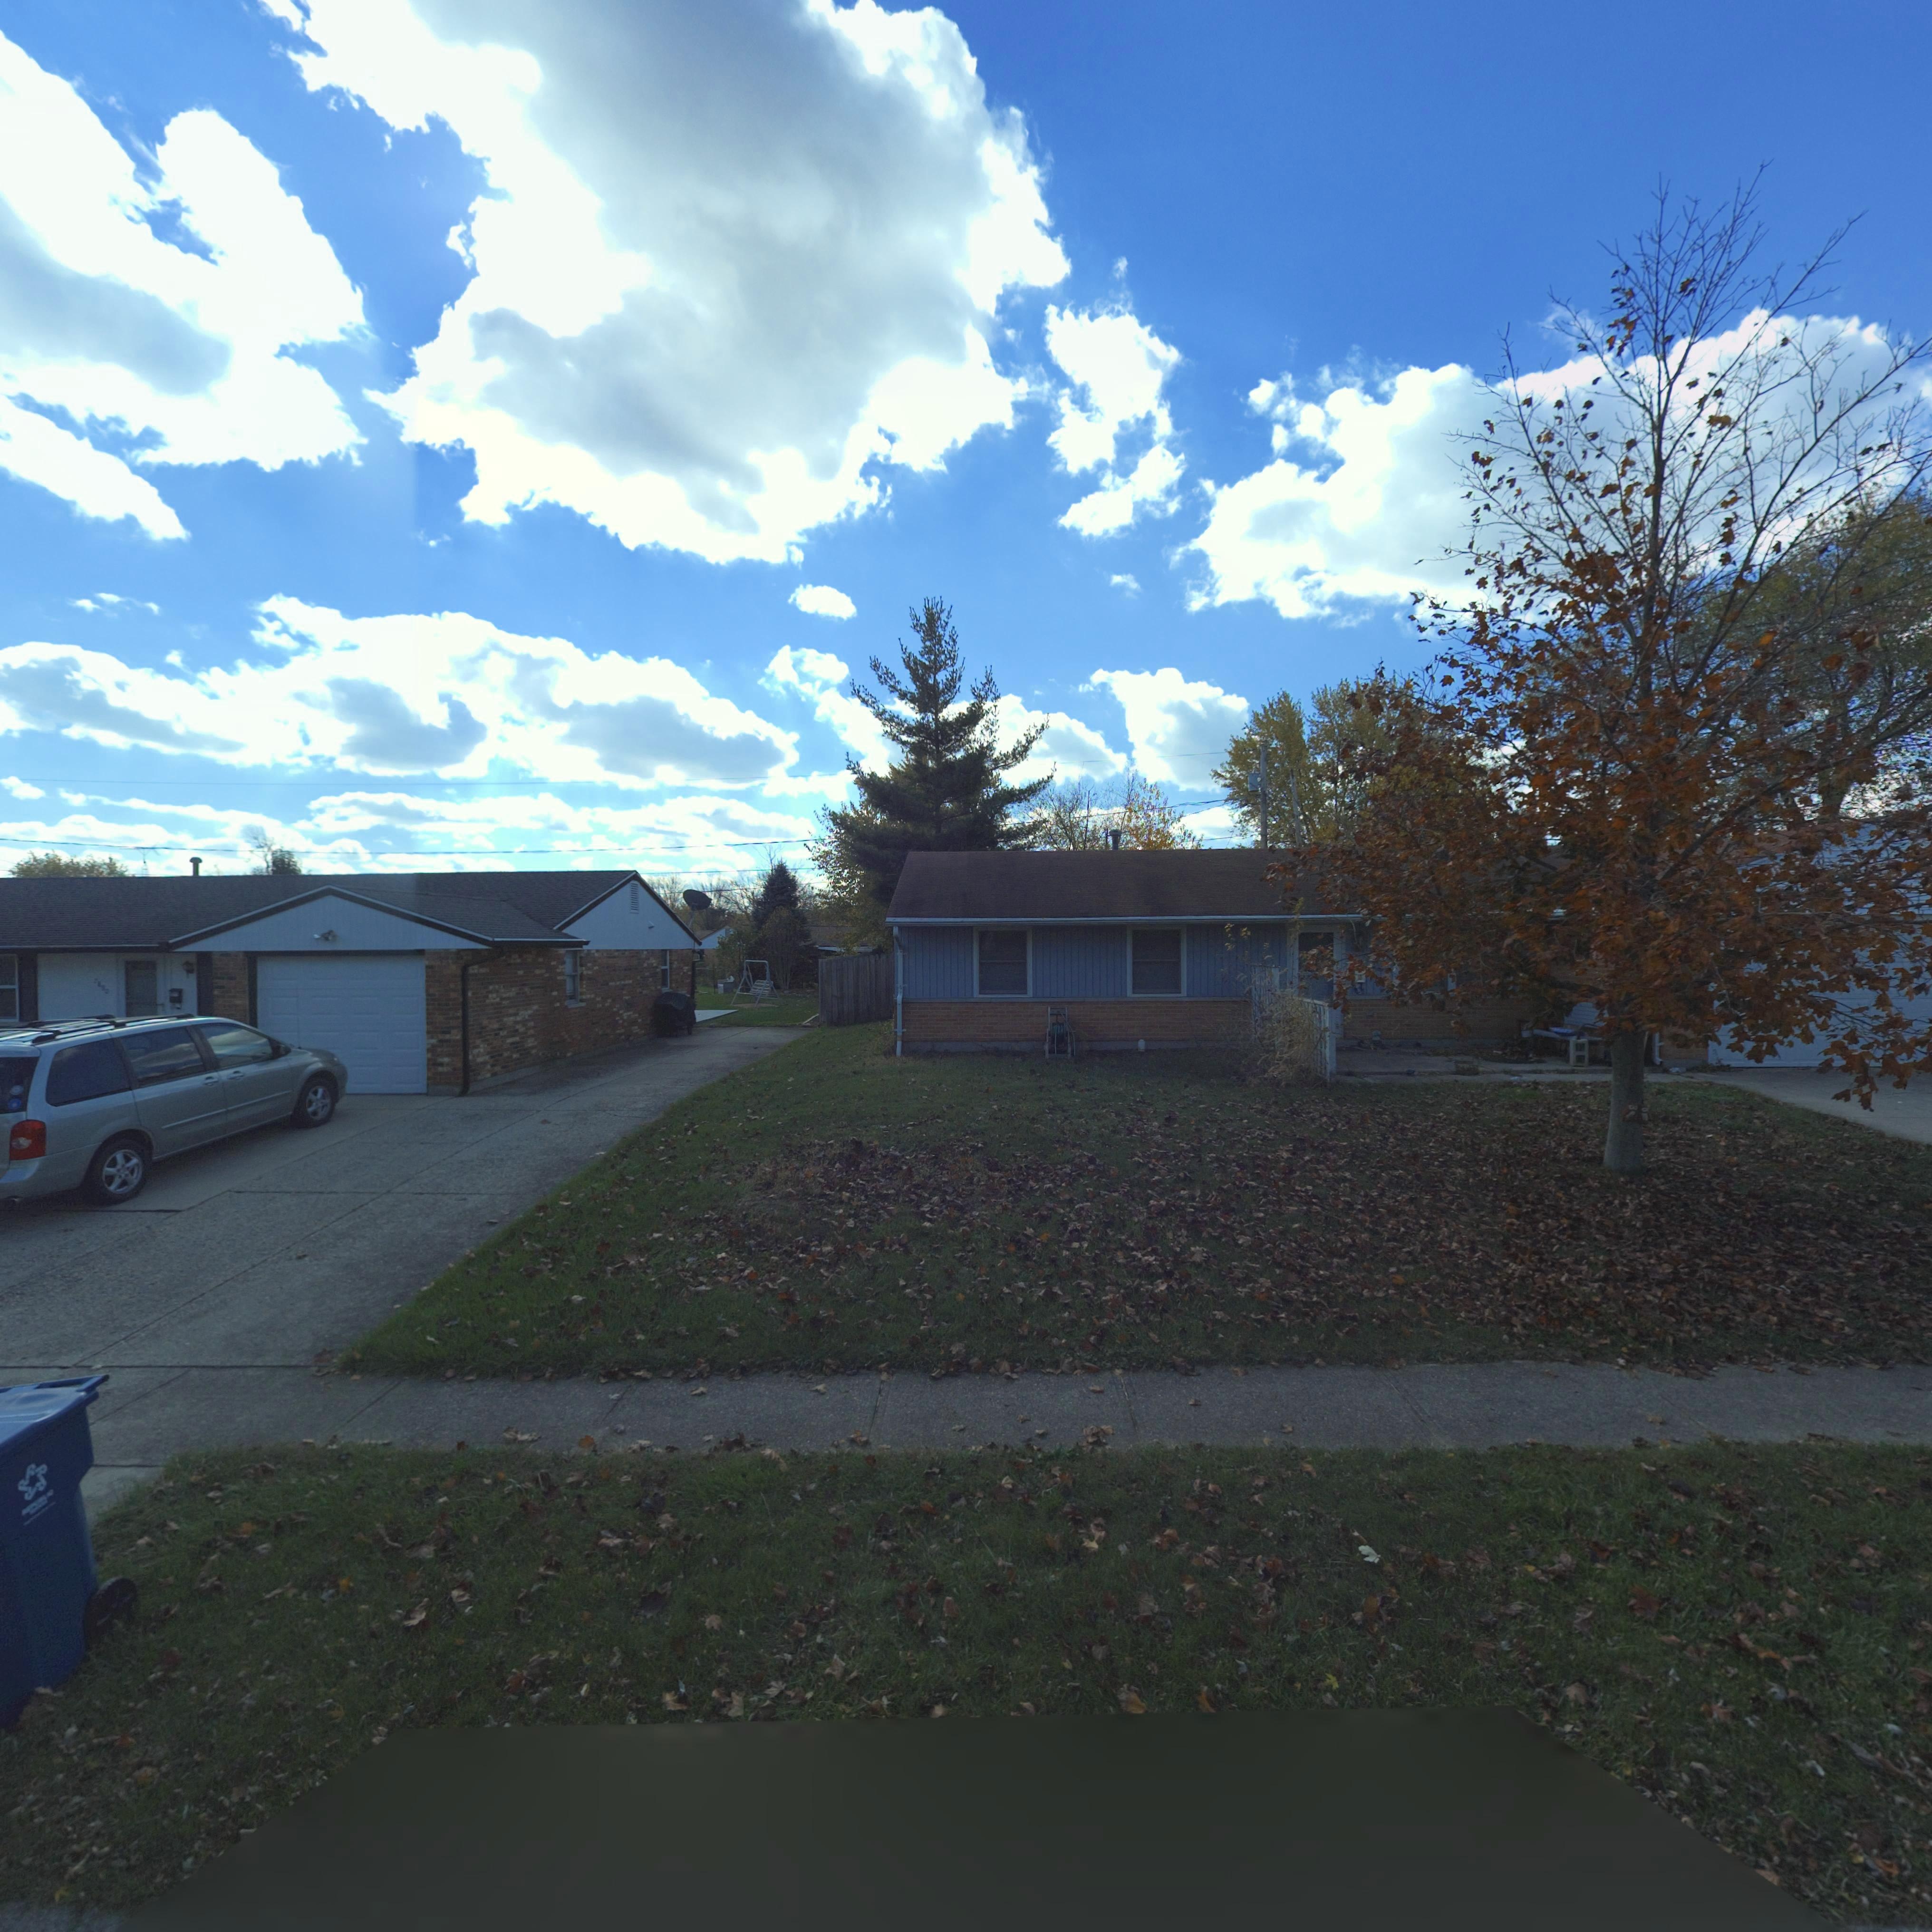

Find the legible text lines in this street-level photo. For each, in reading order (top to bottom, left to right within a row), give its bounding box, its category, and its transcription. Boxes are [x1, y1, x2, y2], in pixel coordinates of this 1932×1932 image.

[92, 978, 110, 995] StreetNumber: 7890